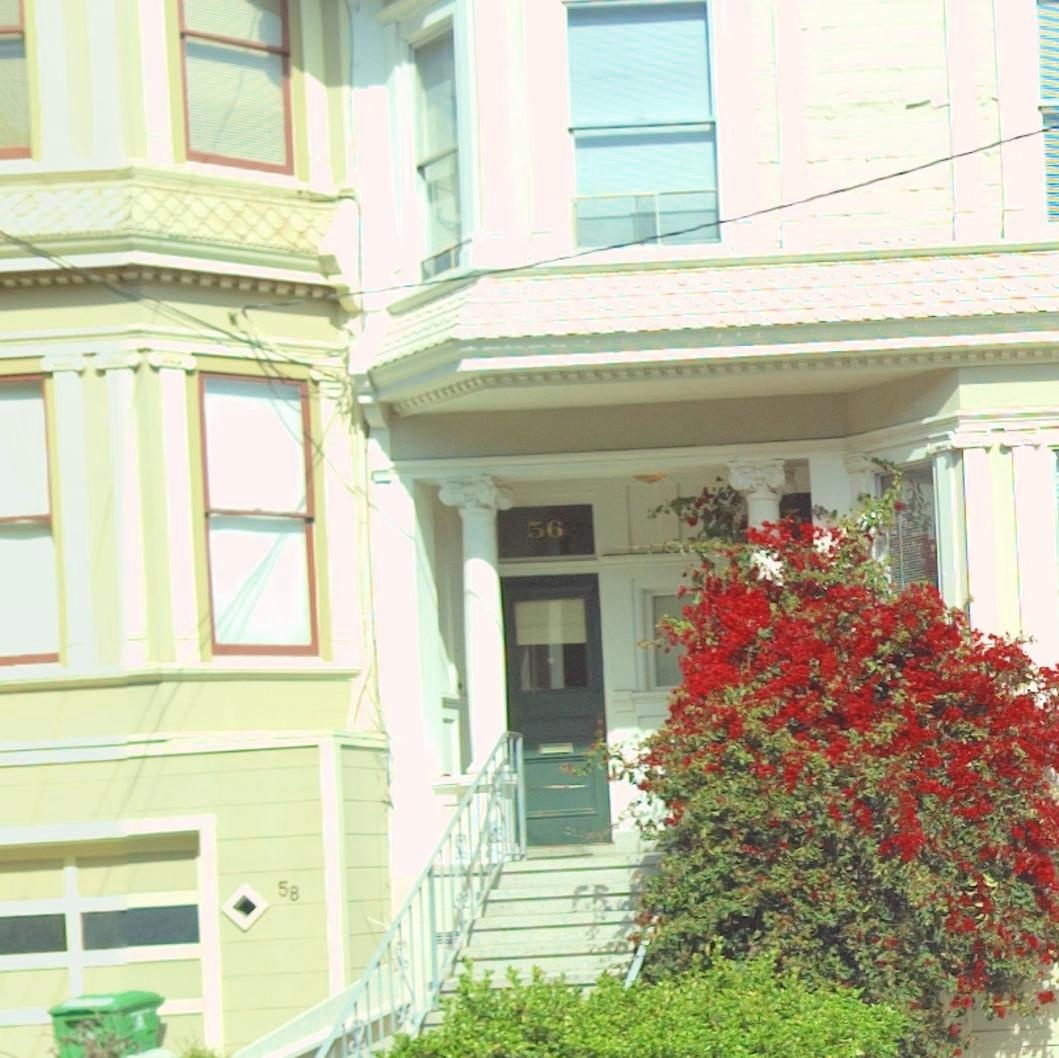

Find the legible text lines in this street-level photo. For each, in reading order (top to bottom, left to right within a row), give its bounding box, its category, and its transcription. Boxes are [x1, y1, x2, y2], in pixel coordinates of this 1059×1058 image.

[526, 516, 565, 542] StreetNumber: 56
[276, 878, 299, 901] None: 58